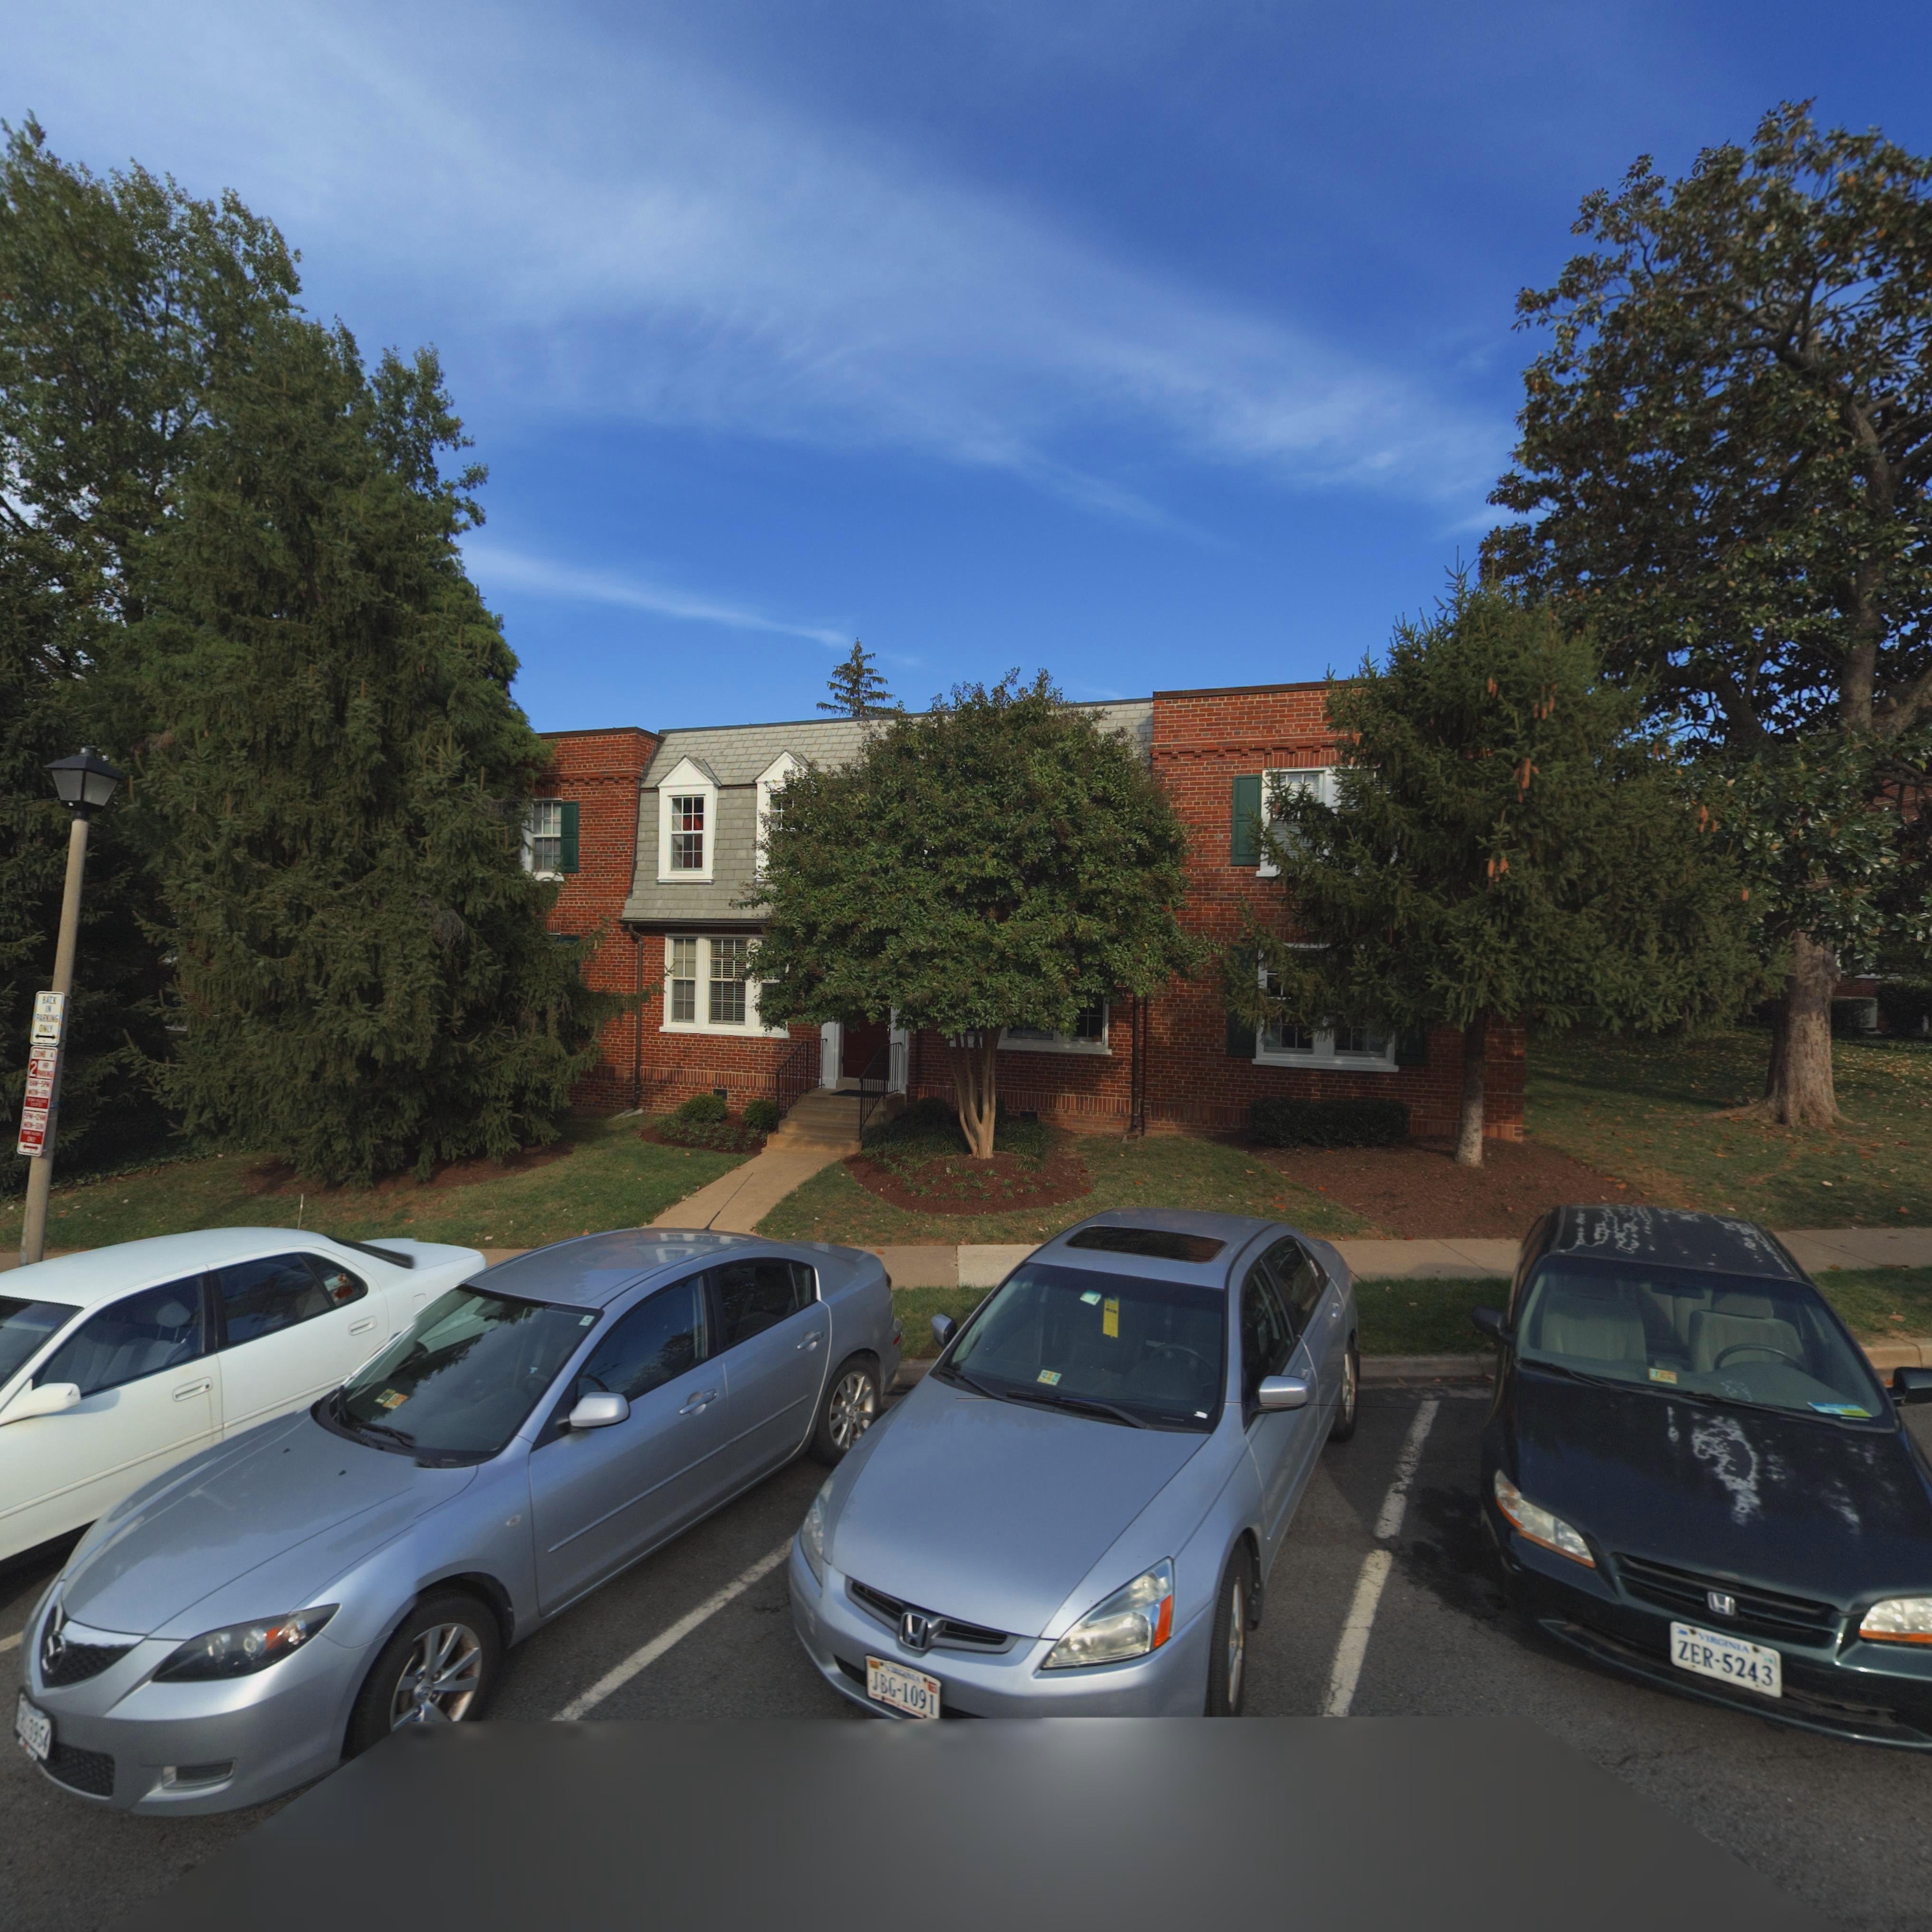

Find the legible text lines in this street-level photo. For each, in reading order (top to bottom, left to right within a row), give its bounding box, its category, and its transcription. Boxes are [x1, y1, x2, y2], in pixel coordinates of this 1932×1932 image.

[41, 995, 58, 1005] None: BACK
[45, 1005, 52, 1013] None: IN
[35, 1014, 59, 1024] None: PARKING
[39, 1024, 54, 1033] None: ONLY
[28, 1060, 38, 1077] None: 2
[28, 1079, 50, 1088] None: *AM-5PM
[27, 1088, 49, 1097] None: MON-FRI
[23, 1111, 46, 1122] None: 5PM-12**
[22, 1121, 44, 1130] None: MON-SUN
[1698, 1632, 1751, 1655] None: VIRGINIA
[1678, 1639, 1772, 1688] None: ZER*5243
[871, 1670, 934, 1717] None: JBG*1091
[27, 1717, 51, 1753] None: 3954